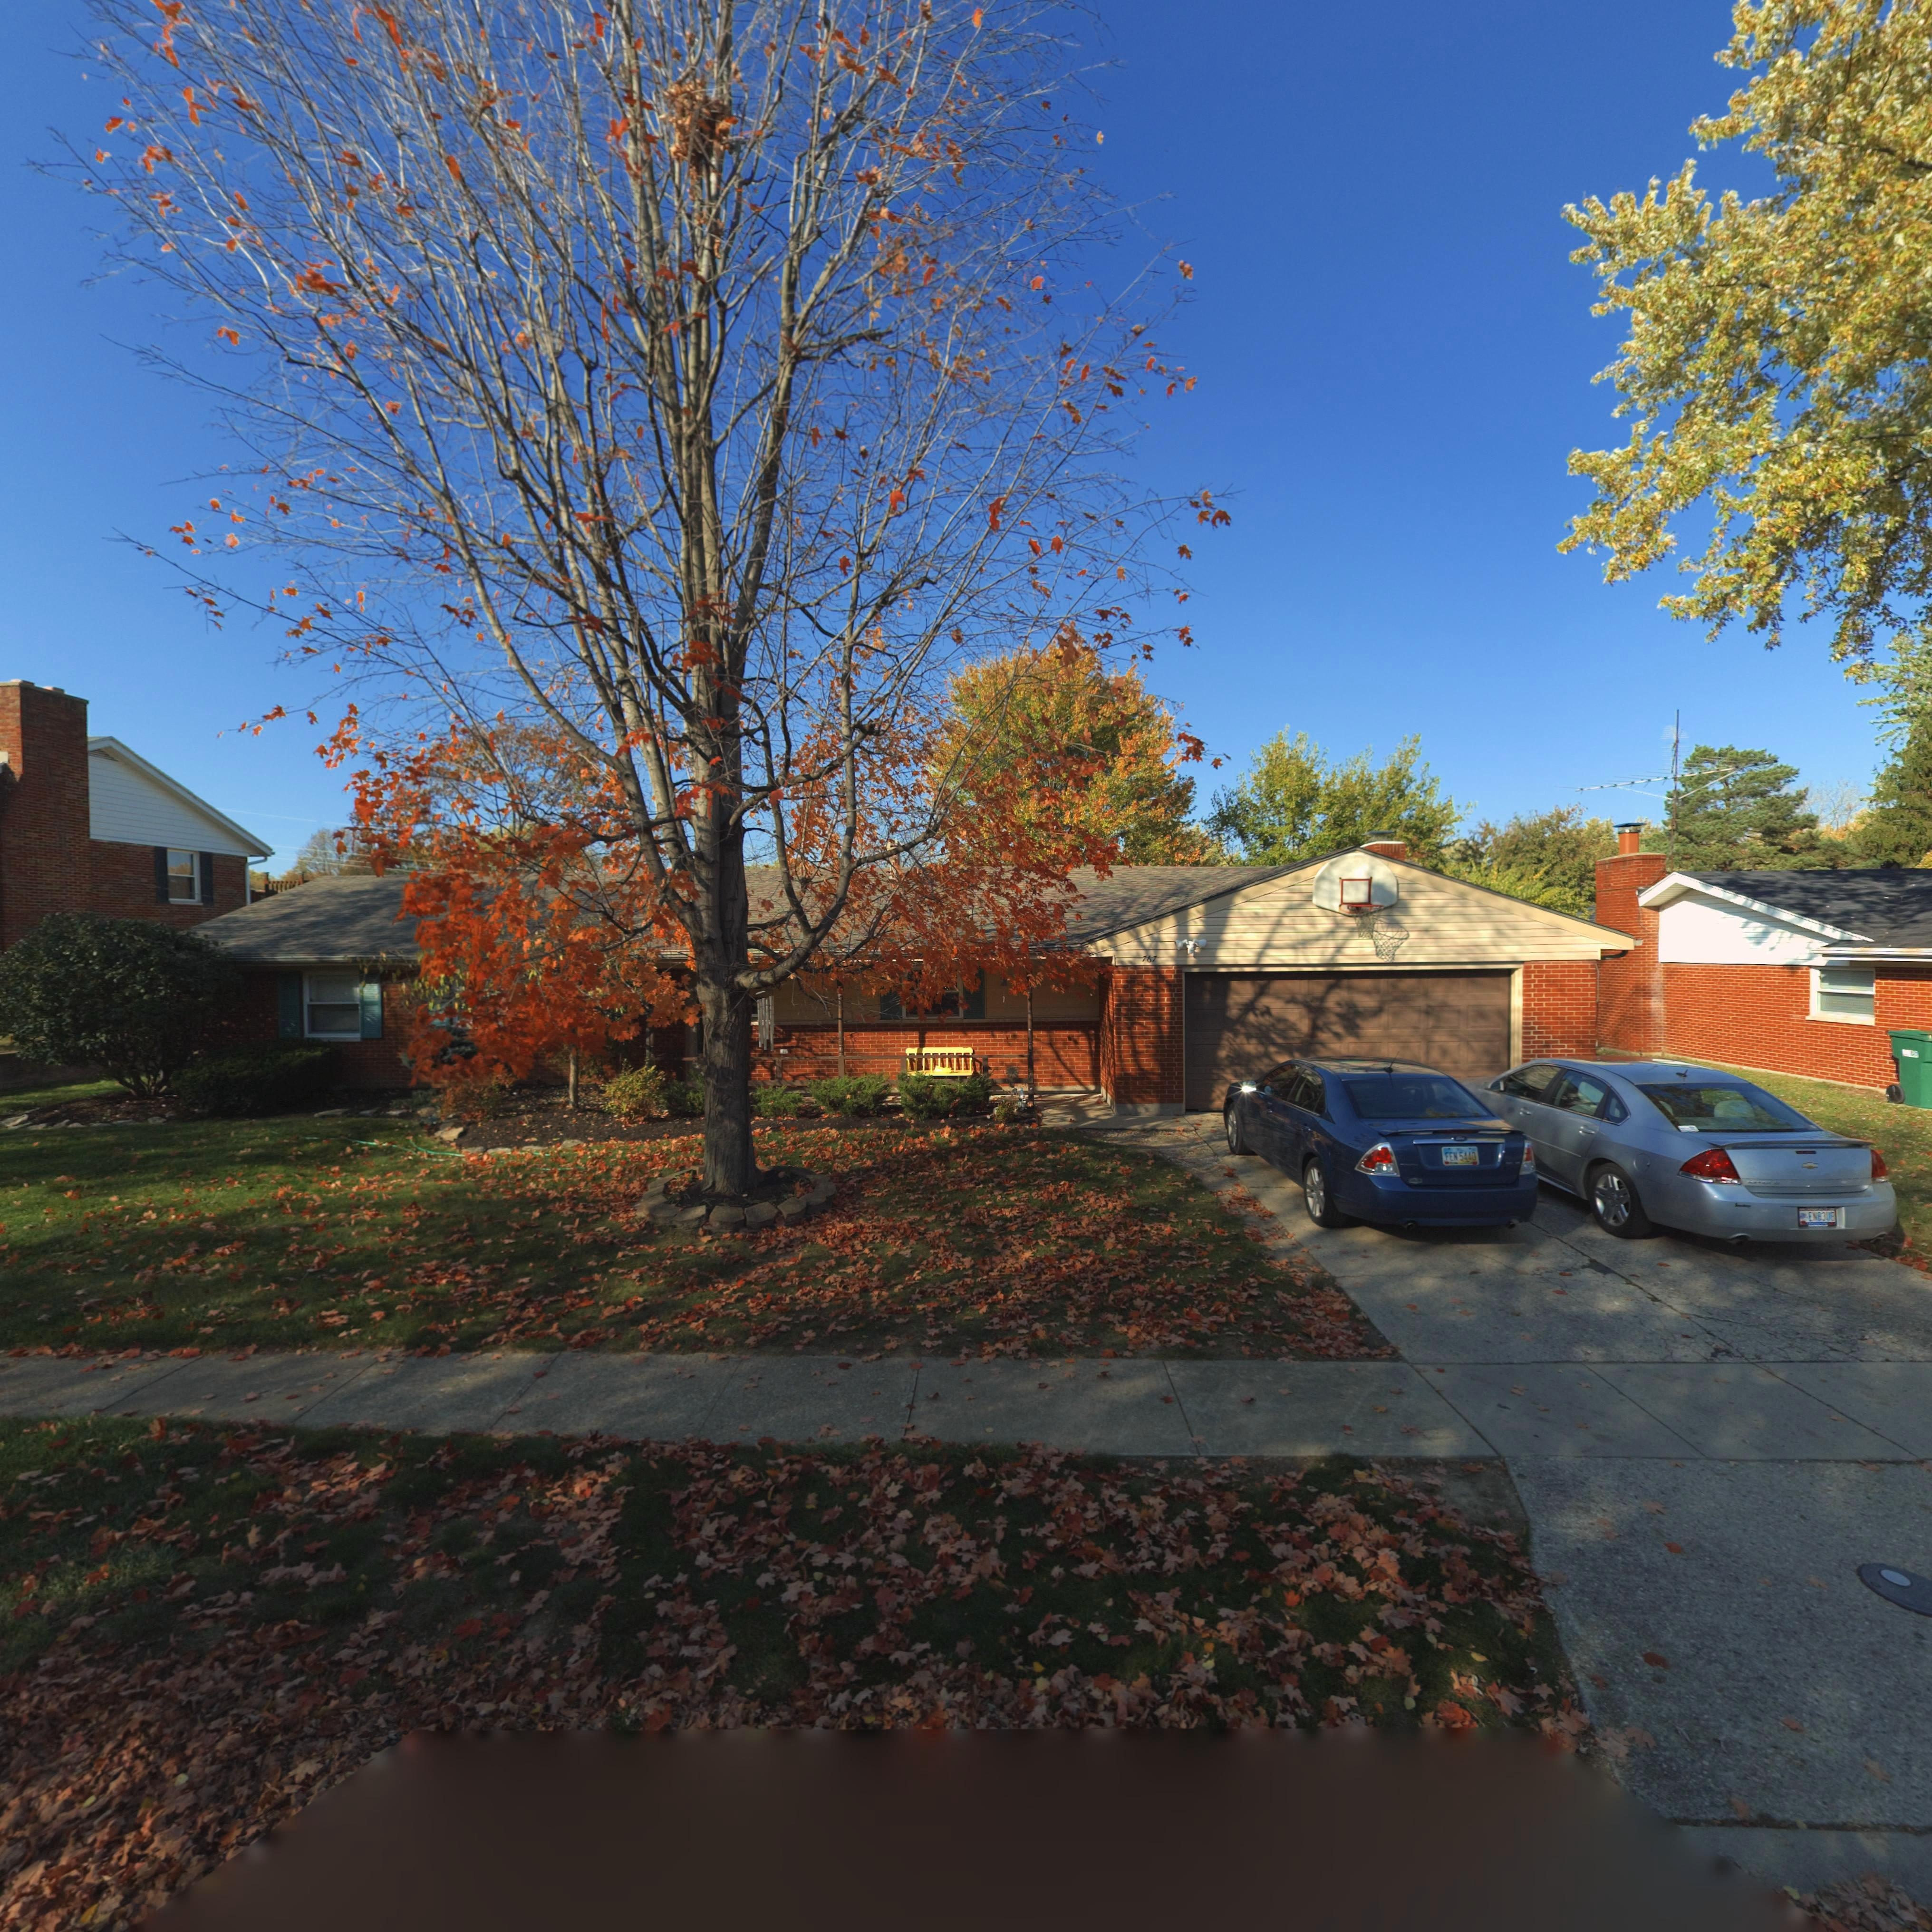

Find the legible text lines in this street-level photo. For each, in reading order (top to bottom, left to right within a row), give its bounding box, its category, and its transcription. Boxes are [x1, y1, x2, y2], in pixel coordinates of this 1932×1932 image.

[1141, 955, 1158, 963] StreetNumber: 767